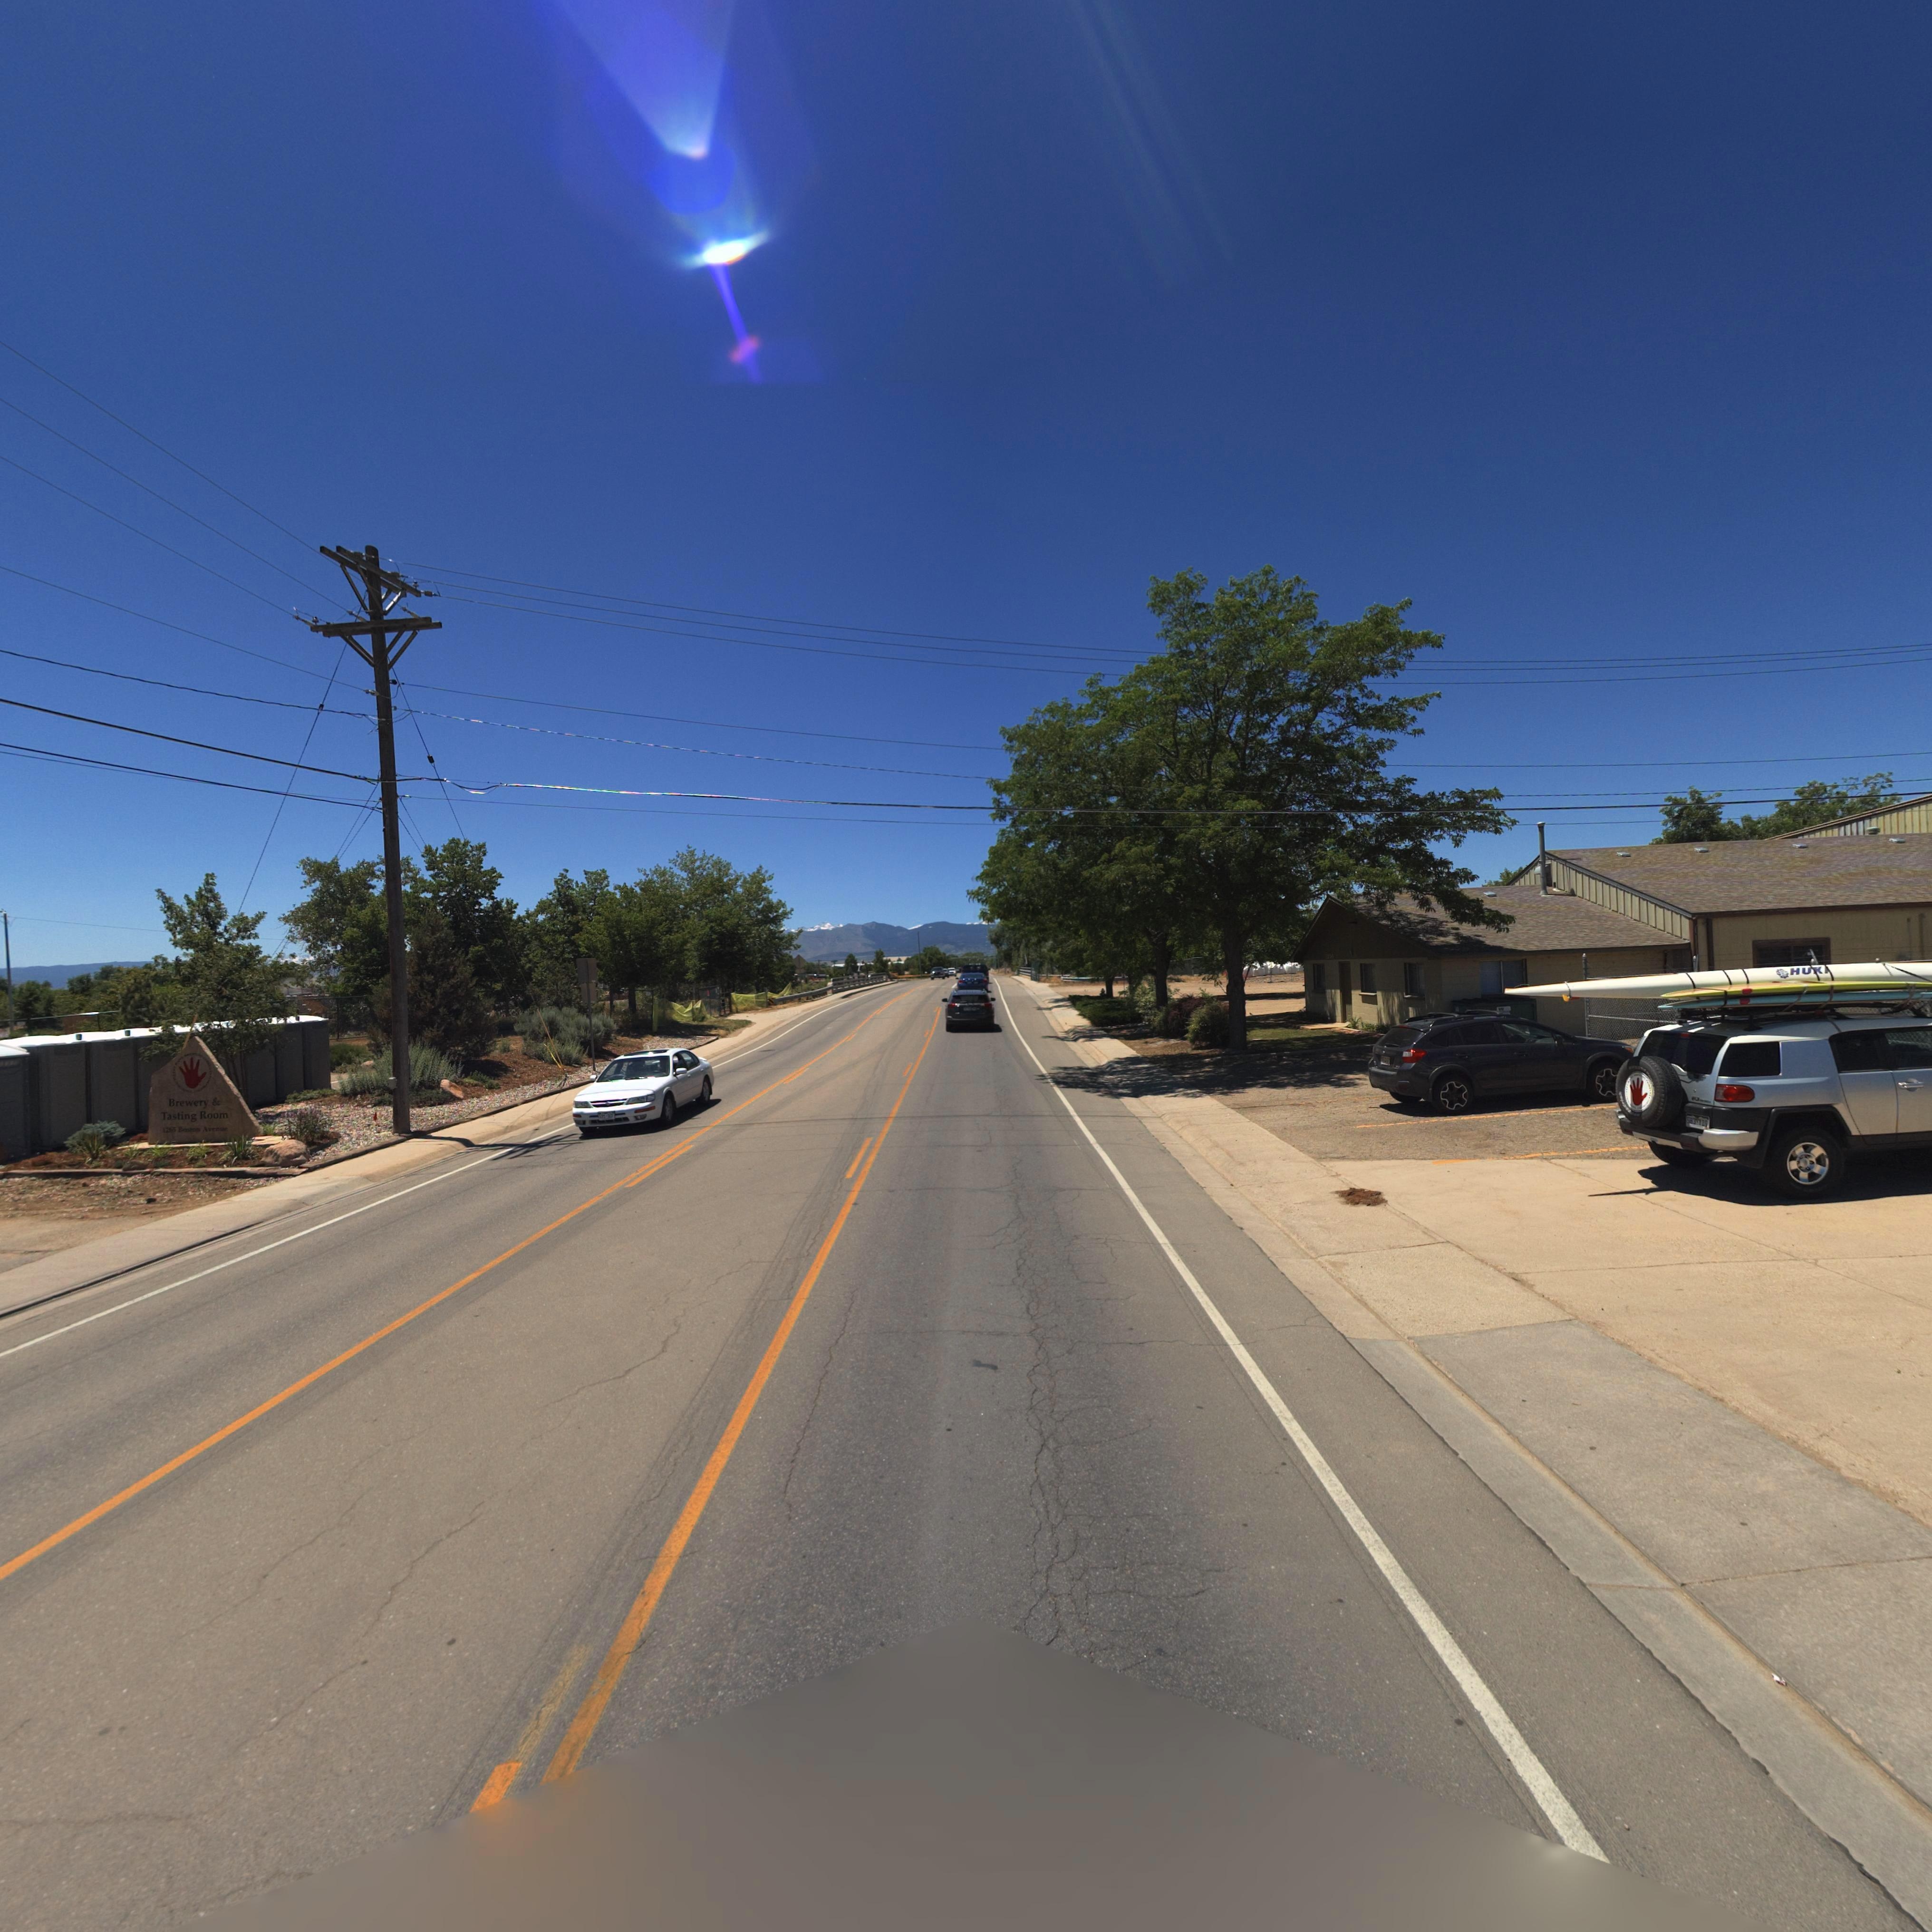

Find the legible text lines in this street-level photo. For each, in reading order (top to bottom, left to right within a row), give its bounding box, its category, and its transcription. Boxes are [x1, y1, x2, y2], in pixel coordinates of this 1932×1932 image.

[1324, 953, 1334, 959] StreetNumber: 1290
[162, 1126, 177, 1133] StreetNumber: 1265
[178, 1126, 229, 1133] StreetName: Boston Avenue